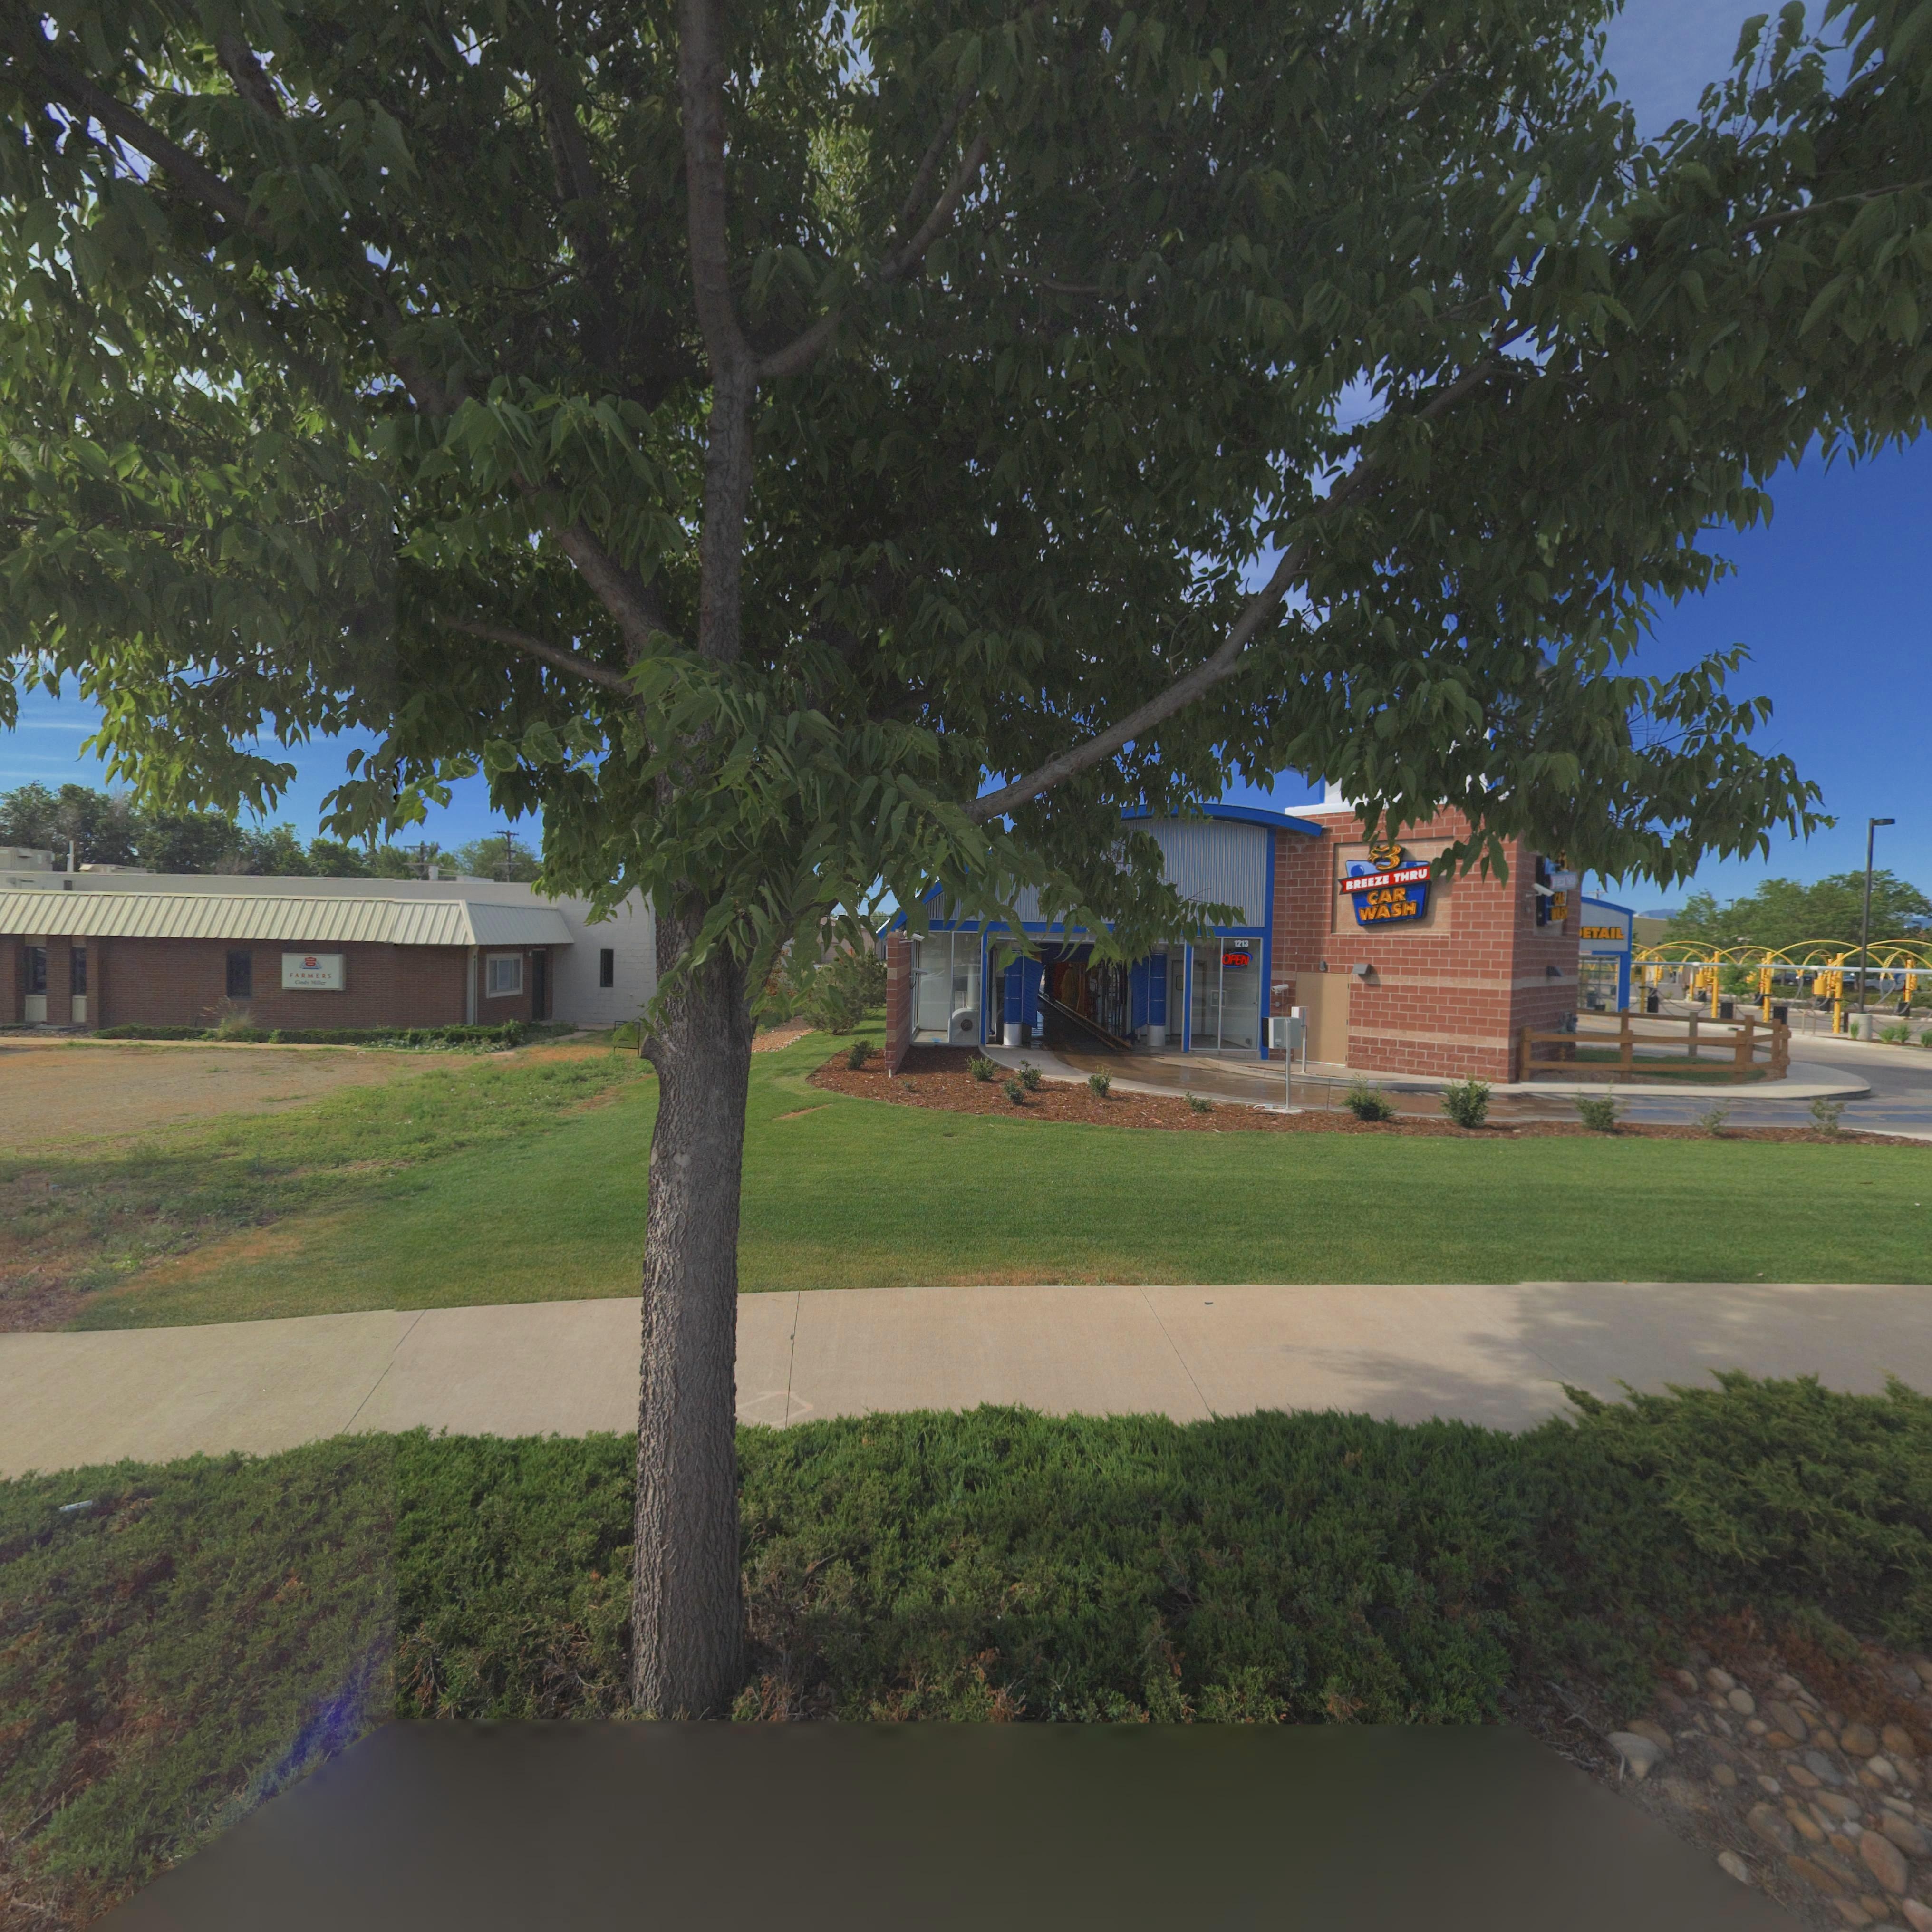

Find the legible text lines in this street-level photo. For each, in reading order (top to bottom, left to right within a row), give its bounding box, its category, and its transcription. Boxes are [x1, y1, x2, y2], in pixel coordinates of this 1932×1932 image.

[1345, 867, 1428, 890] BusinessName: BREEZE THRU
[1365, 886, 1407, 906] BusinessName: CAR
[1554, 890, 1566, 905] BusinessName: CAR
[1356, 899, 1418, 921] BusinessName: WASH
[1549, 904, 1569, 921] BusinessName: **SH
[1233, 939, 1249, 947] StreetNumber: 1213
[289, 972, 332, 979] BusinessName: FARMERS